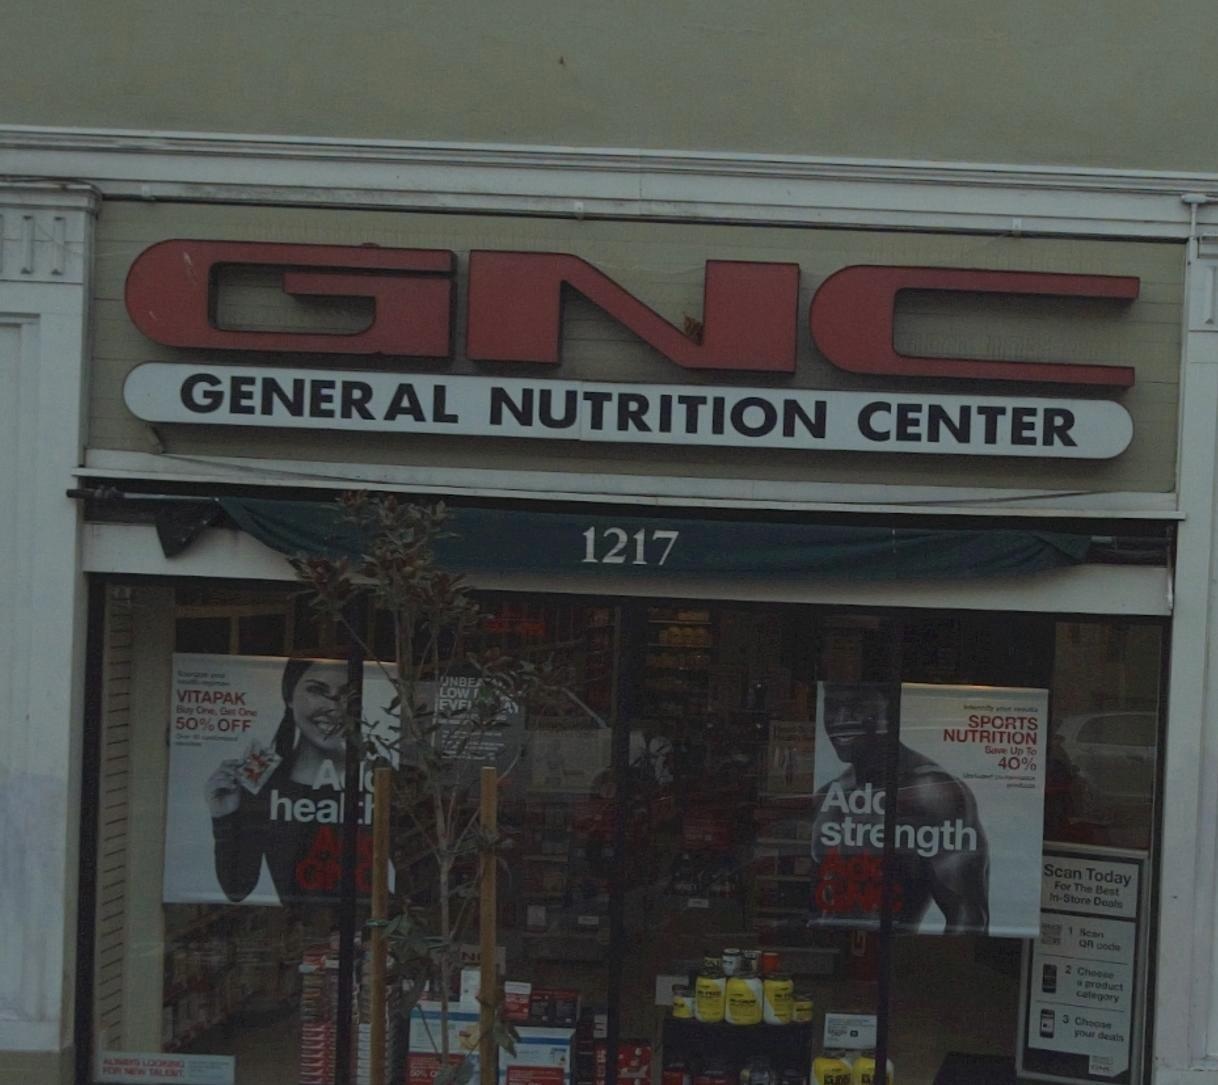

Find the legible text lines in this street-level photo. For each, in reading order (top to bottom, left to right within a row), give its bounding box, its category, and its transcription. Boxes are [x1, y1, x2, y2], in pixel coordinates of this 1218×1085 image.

[123, 236, 1142, 391] BusinessName: GNC
[178, 372, 1079, 450] BusinessName: GENERAL NUTRITION CENTER
[579, 524, 682, 567] StreetNumber: 1217
[449, 676, 477, 688] None: NBE
[175, 688, 248, 707] None: VITAPAK
[438, 686, 472, 699] None: LOW
[174, 715, 253, 733] None: 50% OFF
[968, 714, 1038, 731] None: SPORTS
[943, 727, 1038, 746] None: NUTRITION
[996, 755, 1021, 771] None: 40
[310, 758, 343, 792] None: A
[818, 780, 872, 815] None: Ad
[269, 789, 339, 824] None: hea
[820, 816, 978, 858] None: str*ngth
[1042, 862, 1133, 888] None: Scan Today
[1053, 879, 1120, 897] None: For The Best
[1048, 892, 1124, 909] None: In-Store Deals
[1078, 926, 1105, 939] None: Scan
[1078, 938, 1121, 952] None: QR code
[1076, 965, 1115, 981] None: Choose
[1075, 978, 1124, 993] None: a product
[1075, 989, 1120, 1005] None: category
[1073, 1015, 1112, 1030] None: Choose
[1073, 1028, 1125, 1043] None: your deals
[101, 1057, 185, 1068] None: ALWAYS LOOKING
[100, 1065, 185, 1078] None: FOR NEW TALENT